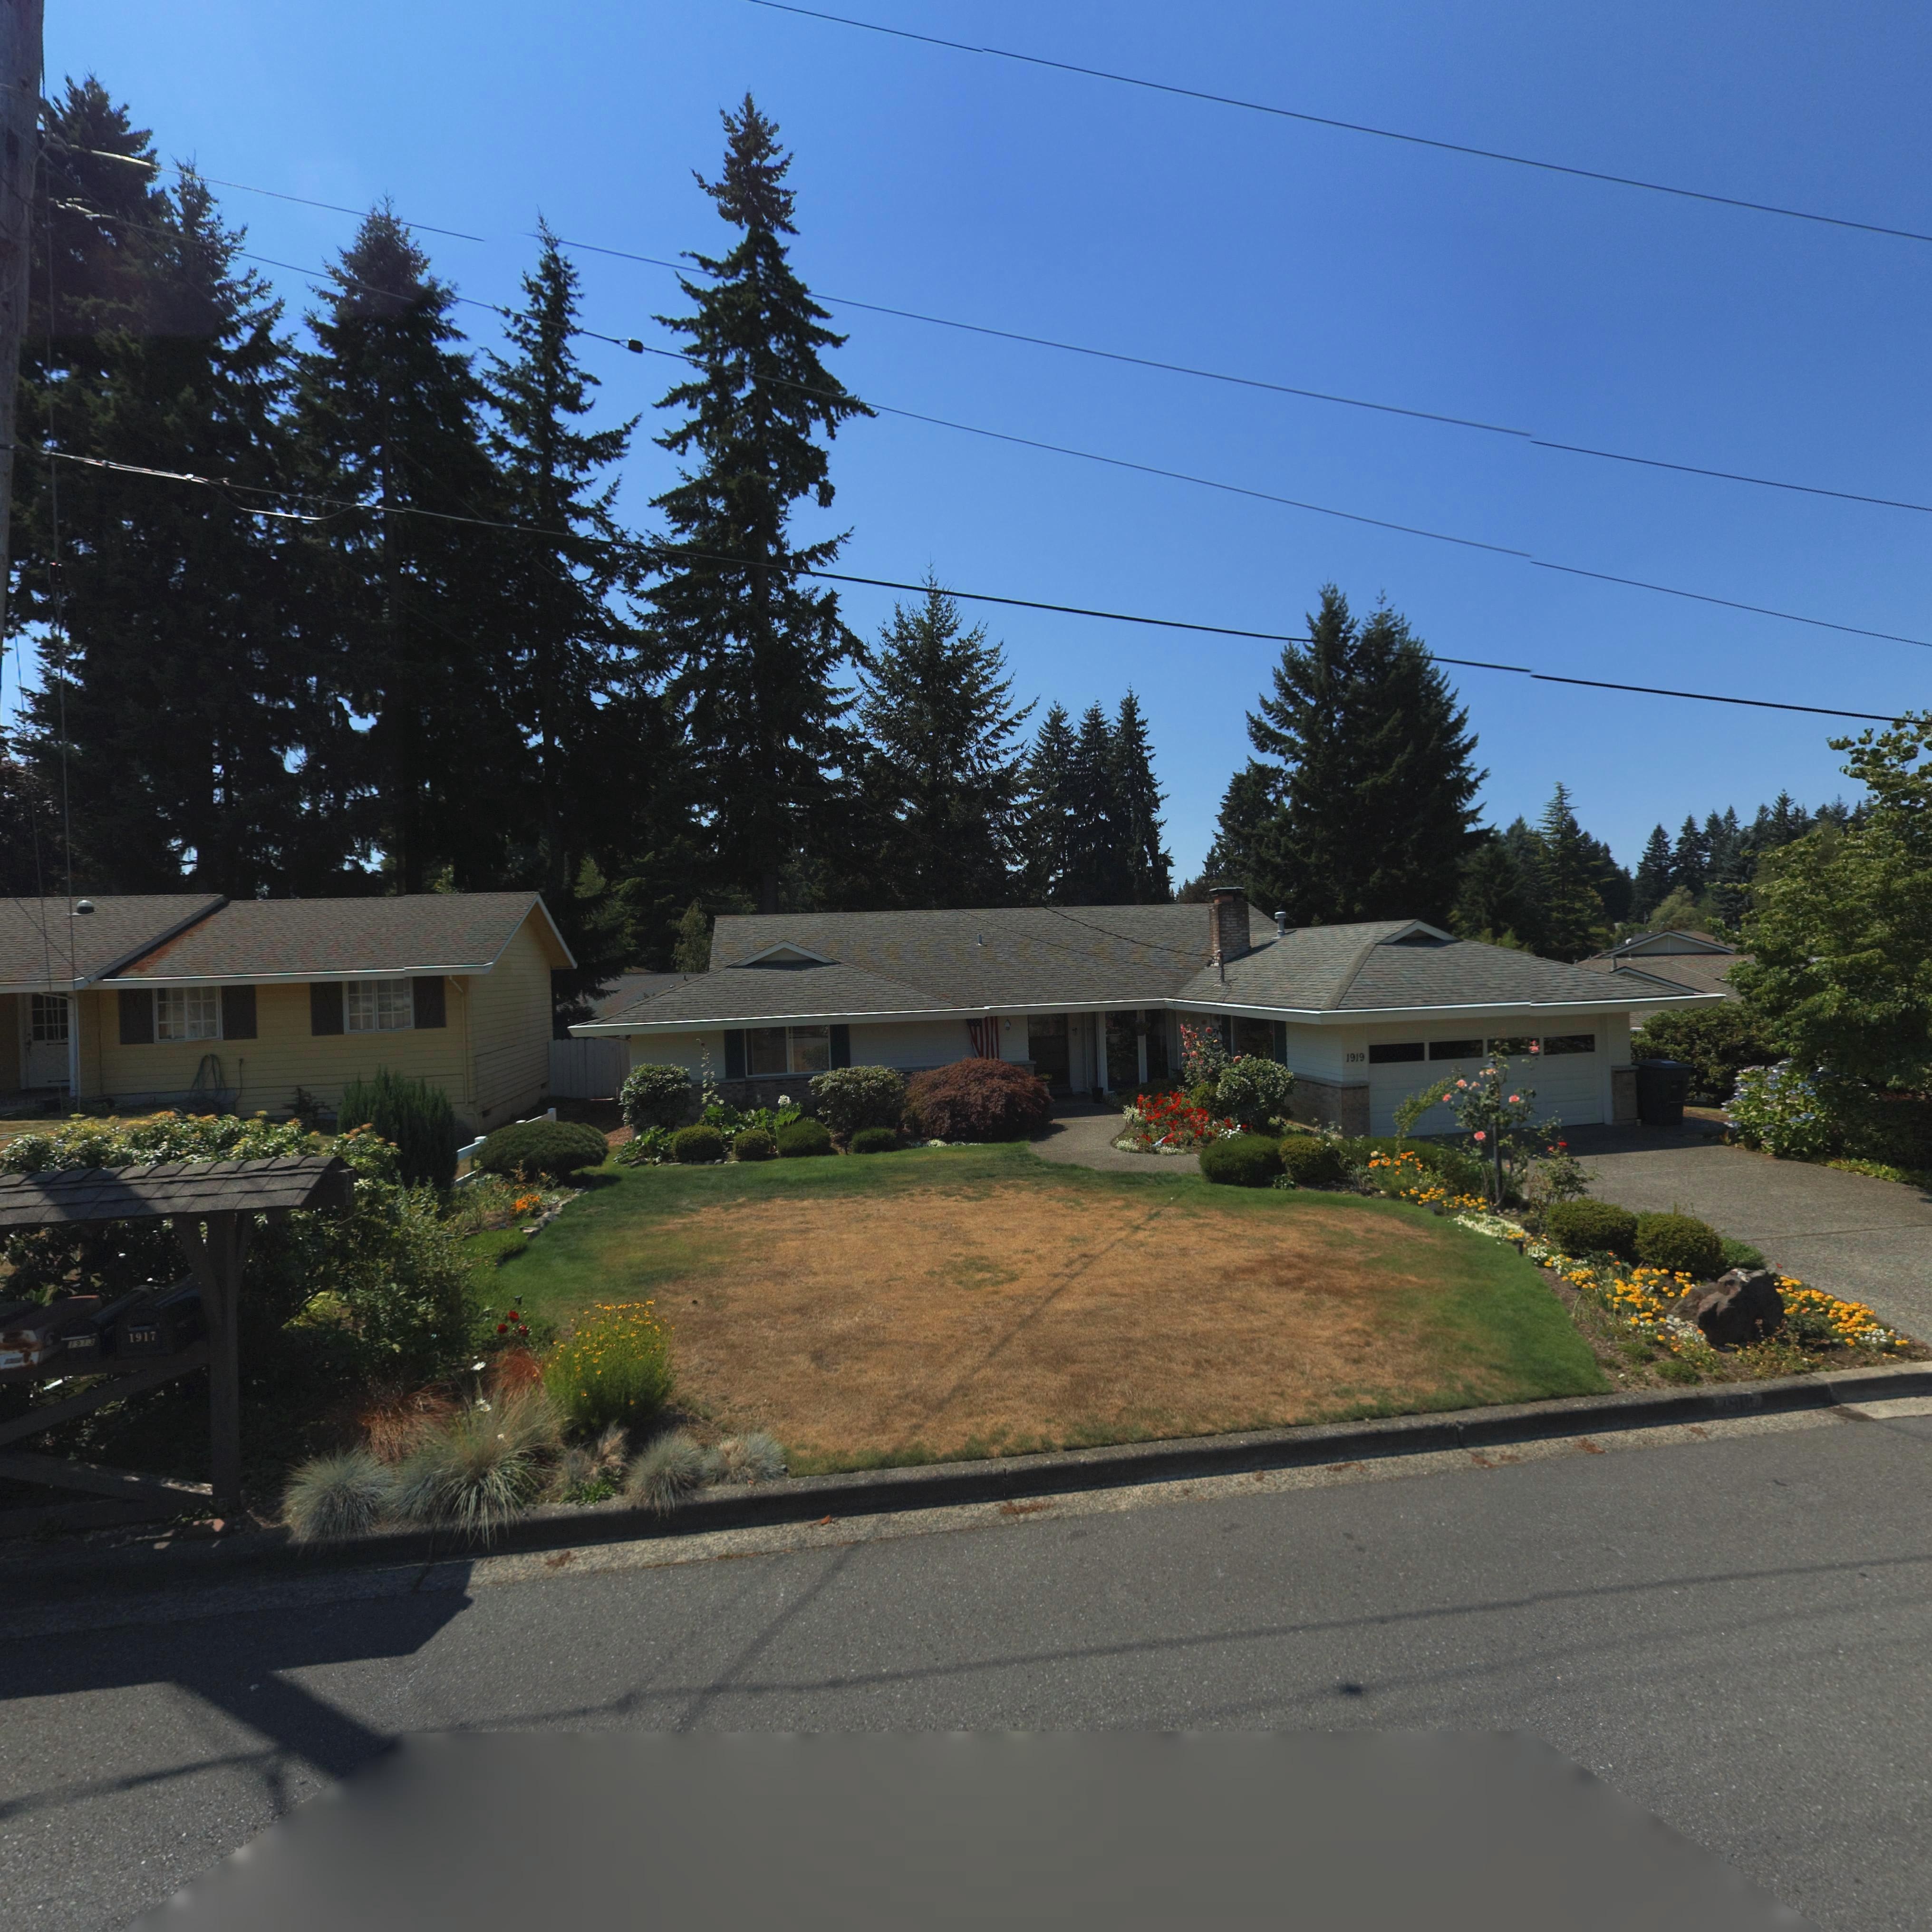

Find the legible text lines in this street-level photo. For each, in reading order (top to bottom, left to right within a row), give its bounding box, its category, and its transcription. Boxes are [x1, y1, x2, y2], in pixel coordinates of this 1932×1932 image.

[70, 1338, 94, 1348] StreetNumber: 1913
[129, 1330, 156, 1343] StreetNumber: 1917